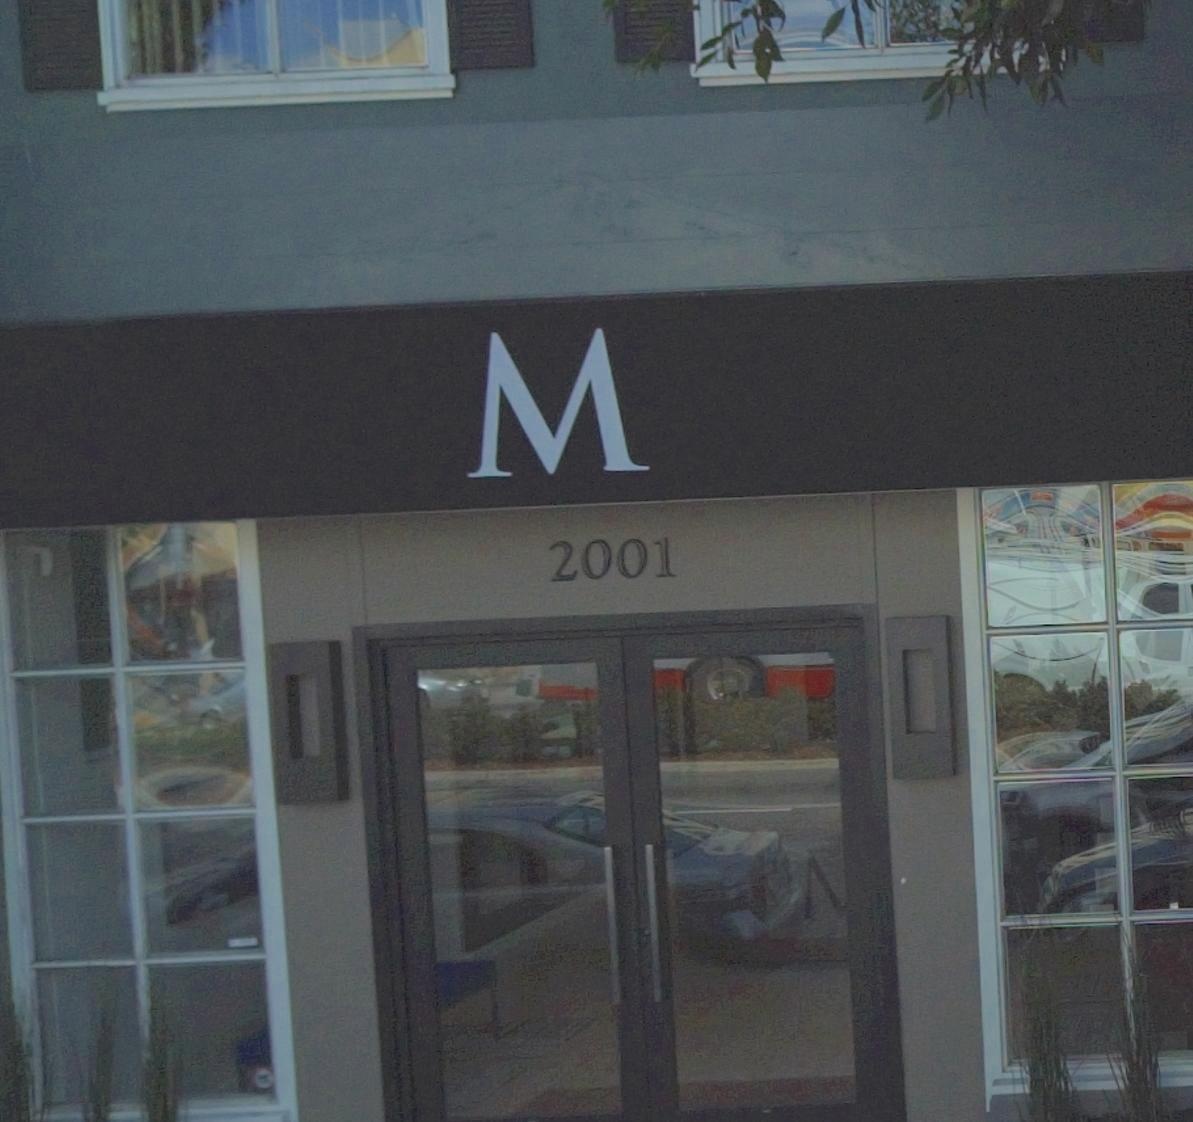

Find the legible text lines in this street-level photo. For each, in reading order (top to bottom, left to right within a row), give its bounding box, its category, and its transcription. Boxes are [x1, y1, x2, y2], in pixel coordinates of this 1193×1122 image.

[463, 318, 655, 484] None: M
[546, 532, 683, 588] StreetNumber: 2001